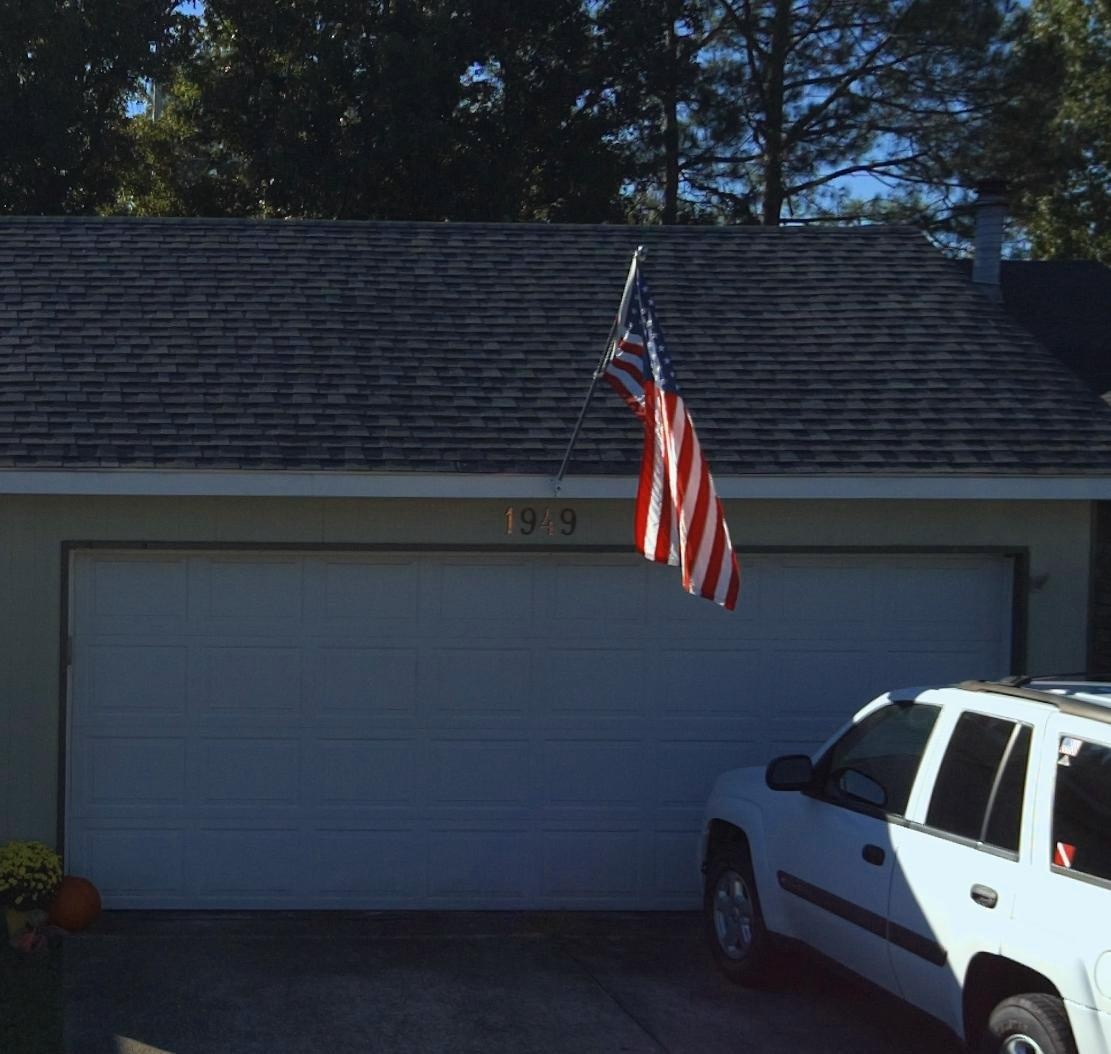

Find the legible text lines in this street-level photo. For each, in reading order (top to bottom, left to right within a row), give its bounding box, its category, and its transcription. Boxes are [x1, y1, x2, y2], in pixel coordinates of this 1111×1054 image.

[501, 505, 578, 537] StreetNumber: 1949